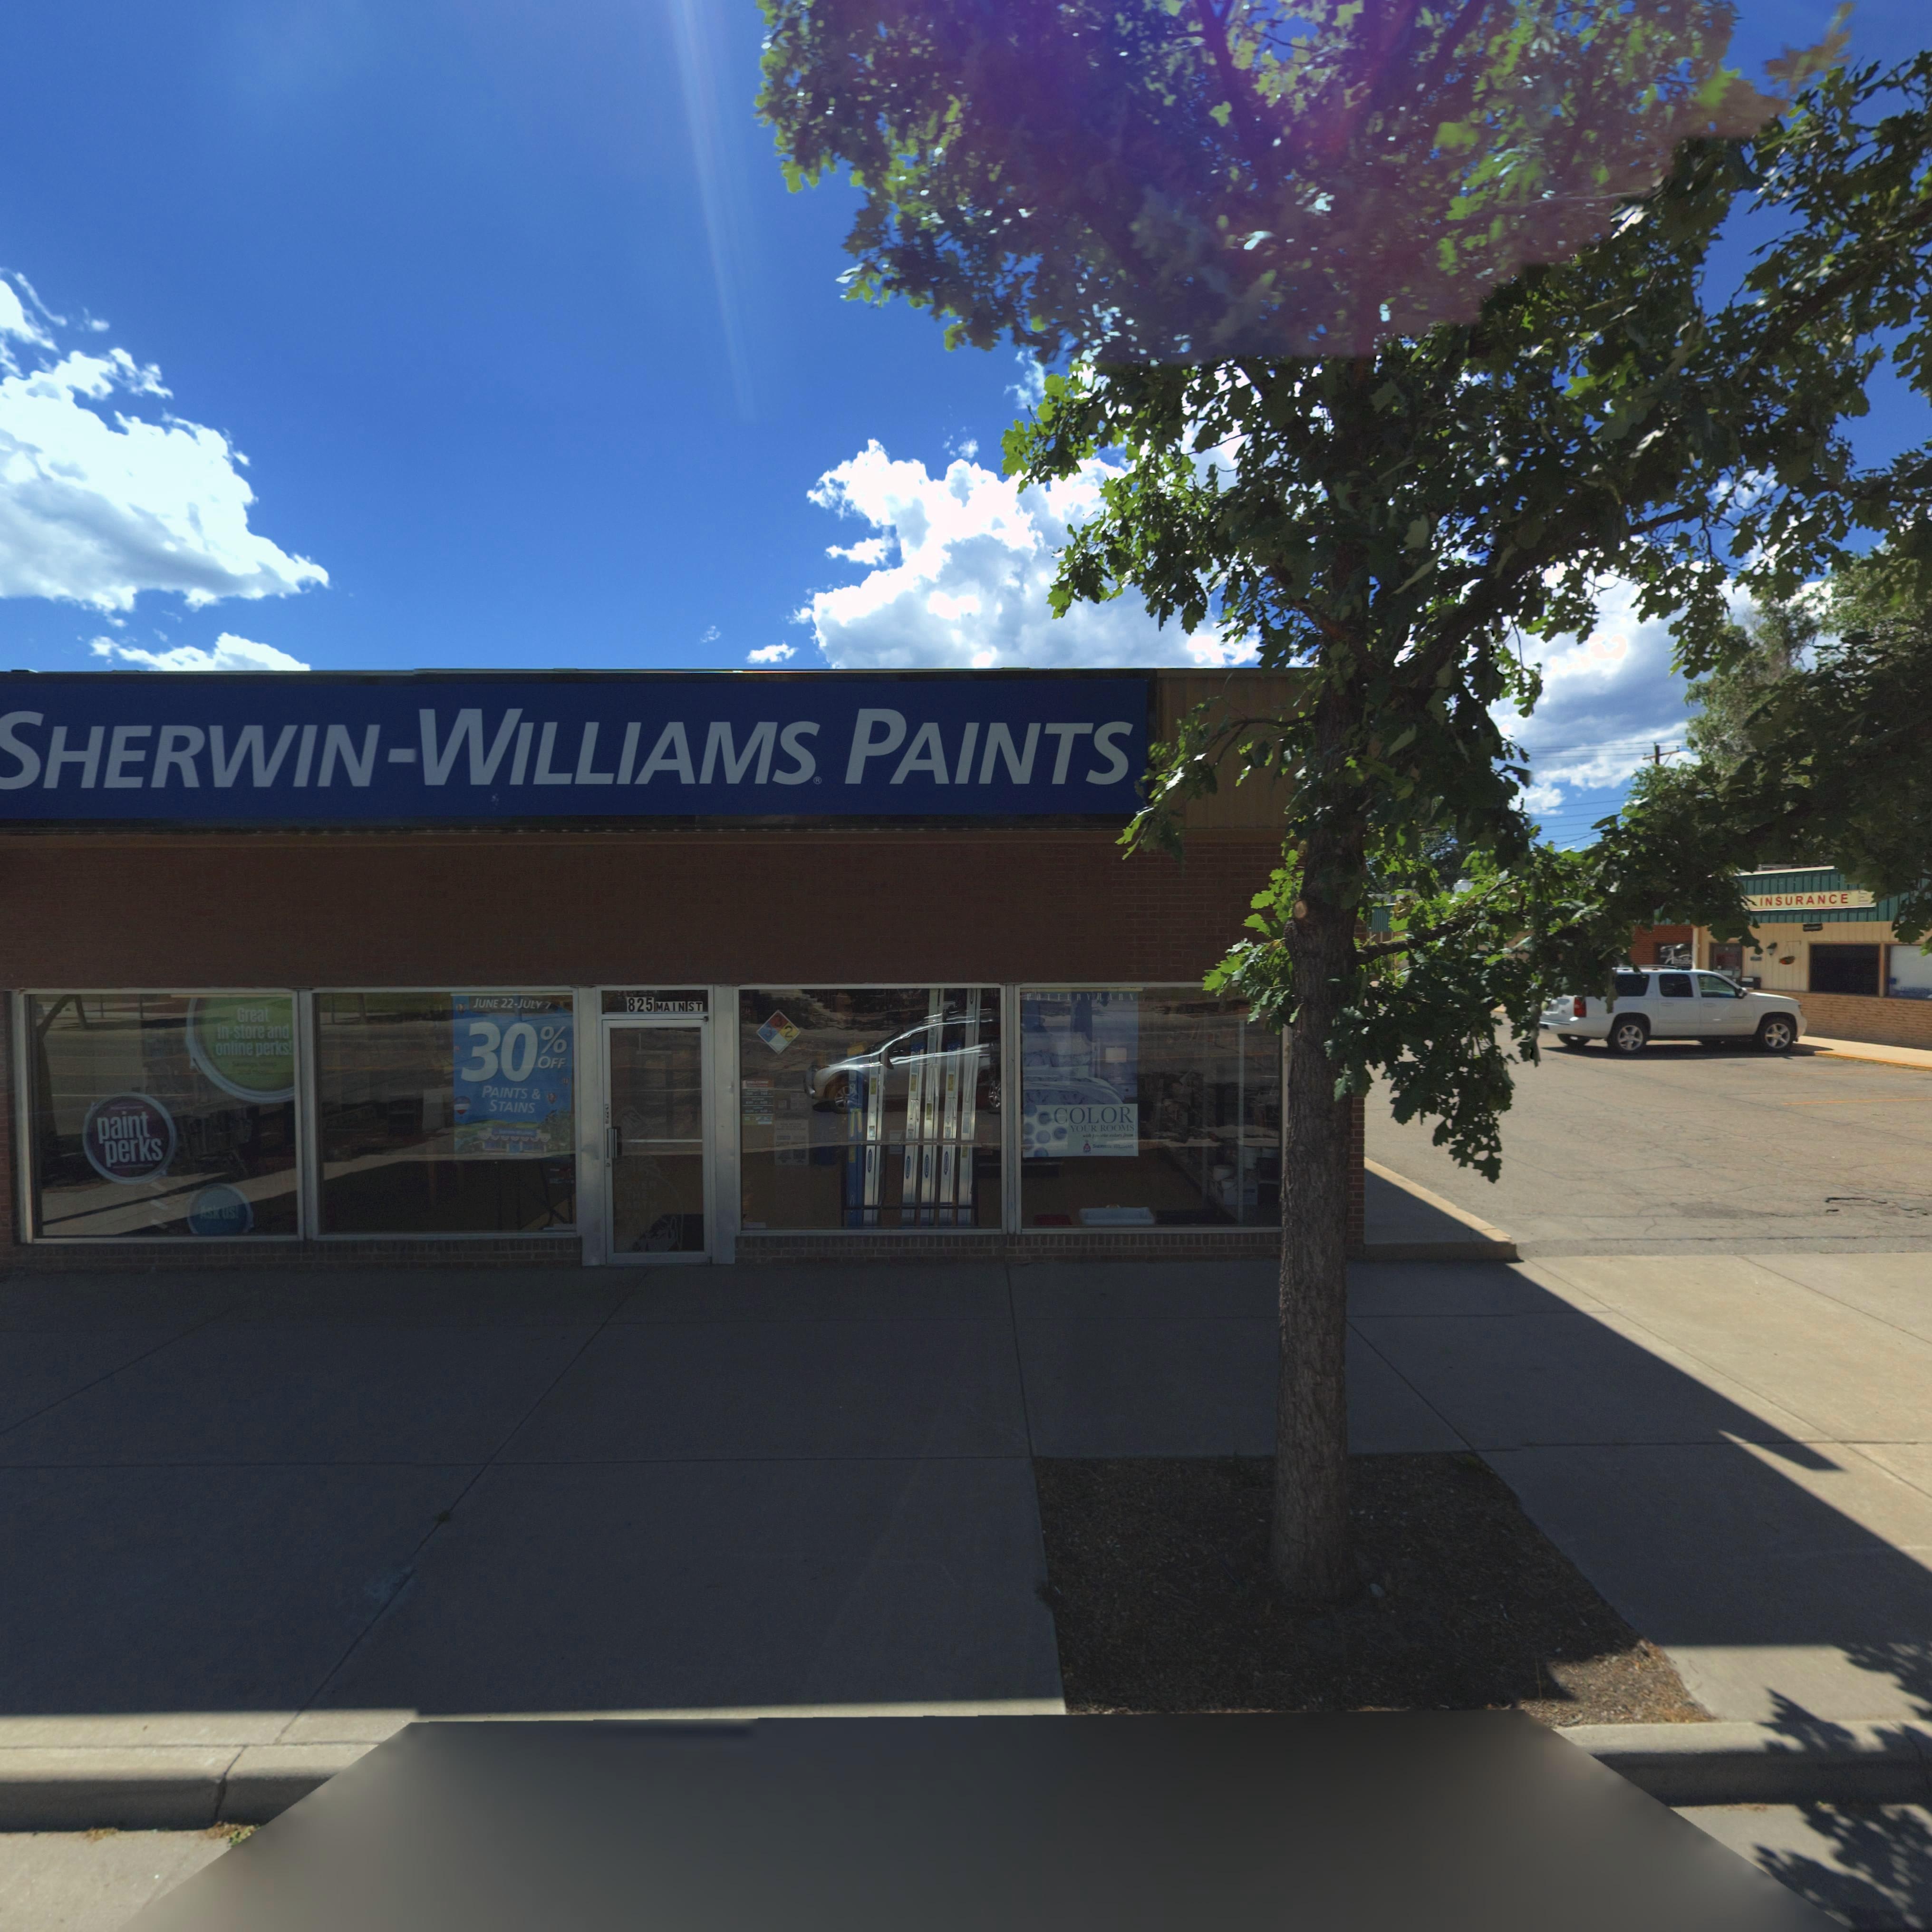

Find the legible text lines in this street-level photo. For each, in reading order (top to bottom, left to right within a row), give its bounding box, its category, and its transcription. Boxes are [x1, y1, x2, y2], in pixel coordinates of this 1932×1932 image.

[39, 705, 1136, 791] BusinessName: HERWIN-WILLIAMS PAINTS
[627, 996, 653, 1012] StreetNumber: 825
[655, 1001, 703, 1012] StreetName: MAIN ST
[1092, 1143, 1133, 1149] BusinessName: SHERWIN WILLIAMS